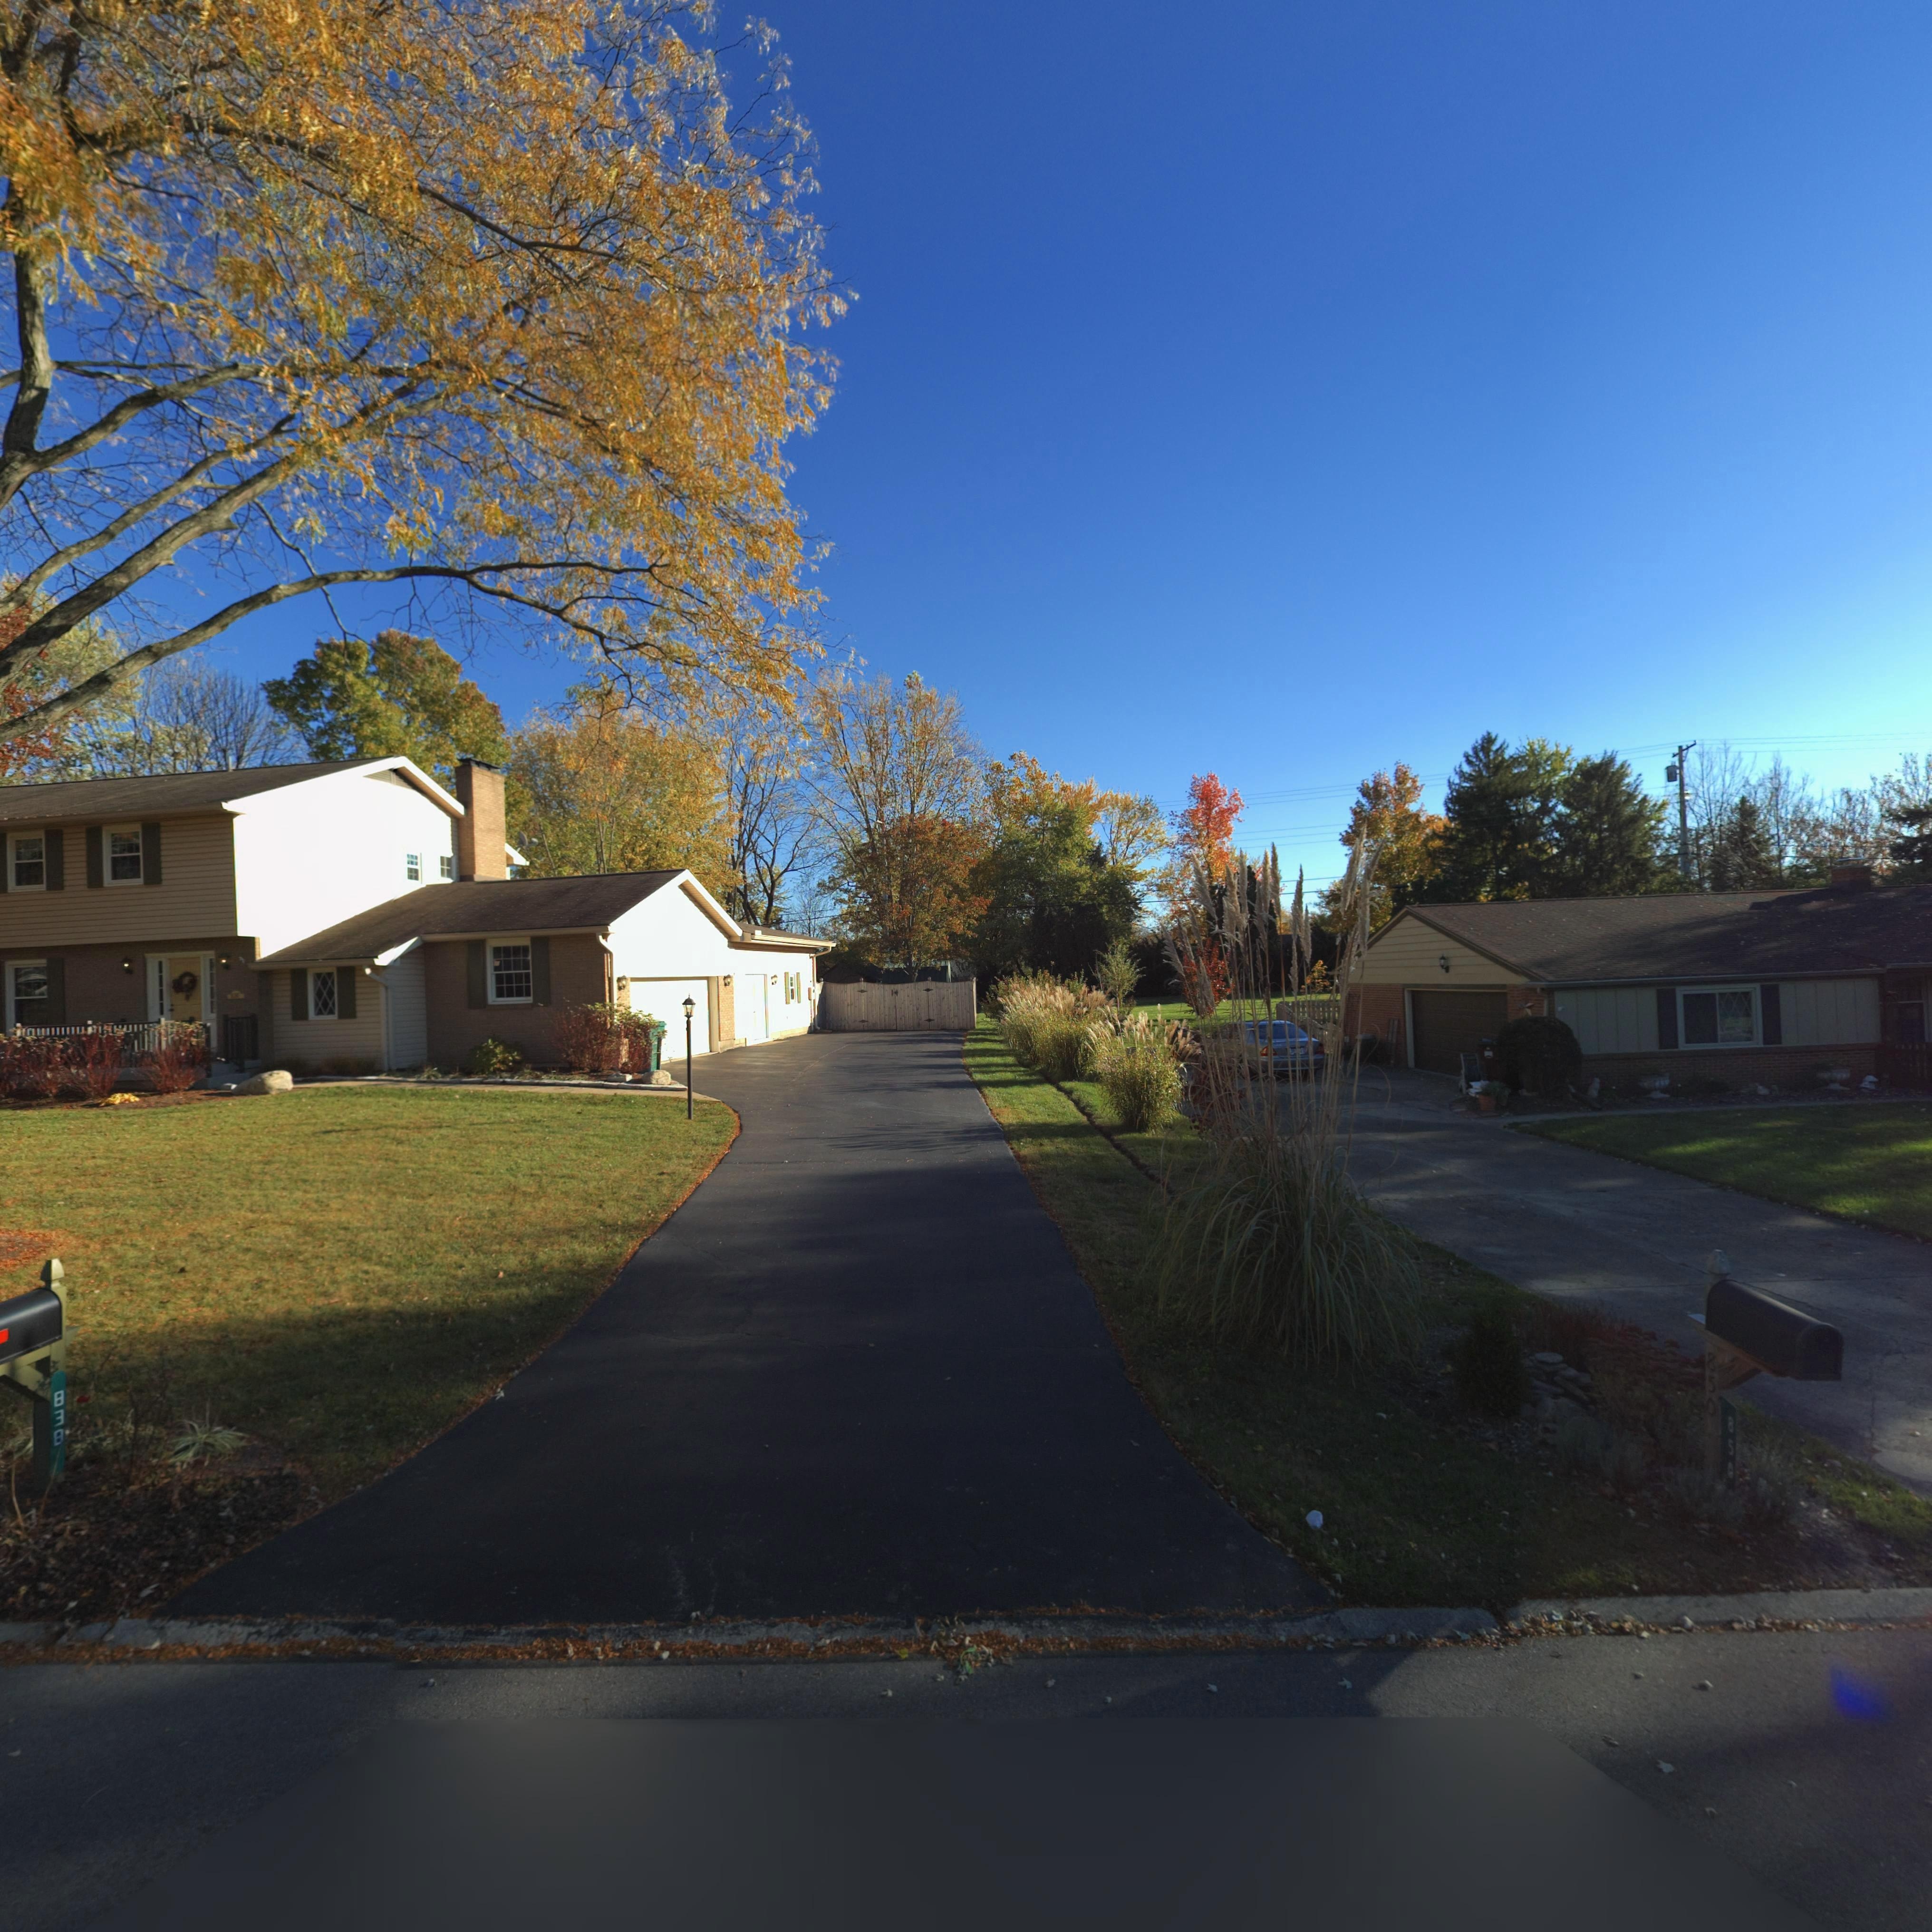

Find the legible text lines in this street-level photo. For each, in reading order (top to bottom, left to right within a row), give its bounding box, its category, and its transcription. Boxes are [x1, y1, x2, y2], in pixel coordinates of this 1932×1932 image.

[230, 993, 240, 999] StreetNumber: 838
[52, 1388, 66, 1449] StreetNumber: 838
[1703, 1348, 1718, 1419] StreetNumber: 850
[1724, 1412, 1736, 1482] StreetNumber: 850